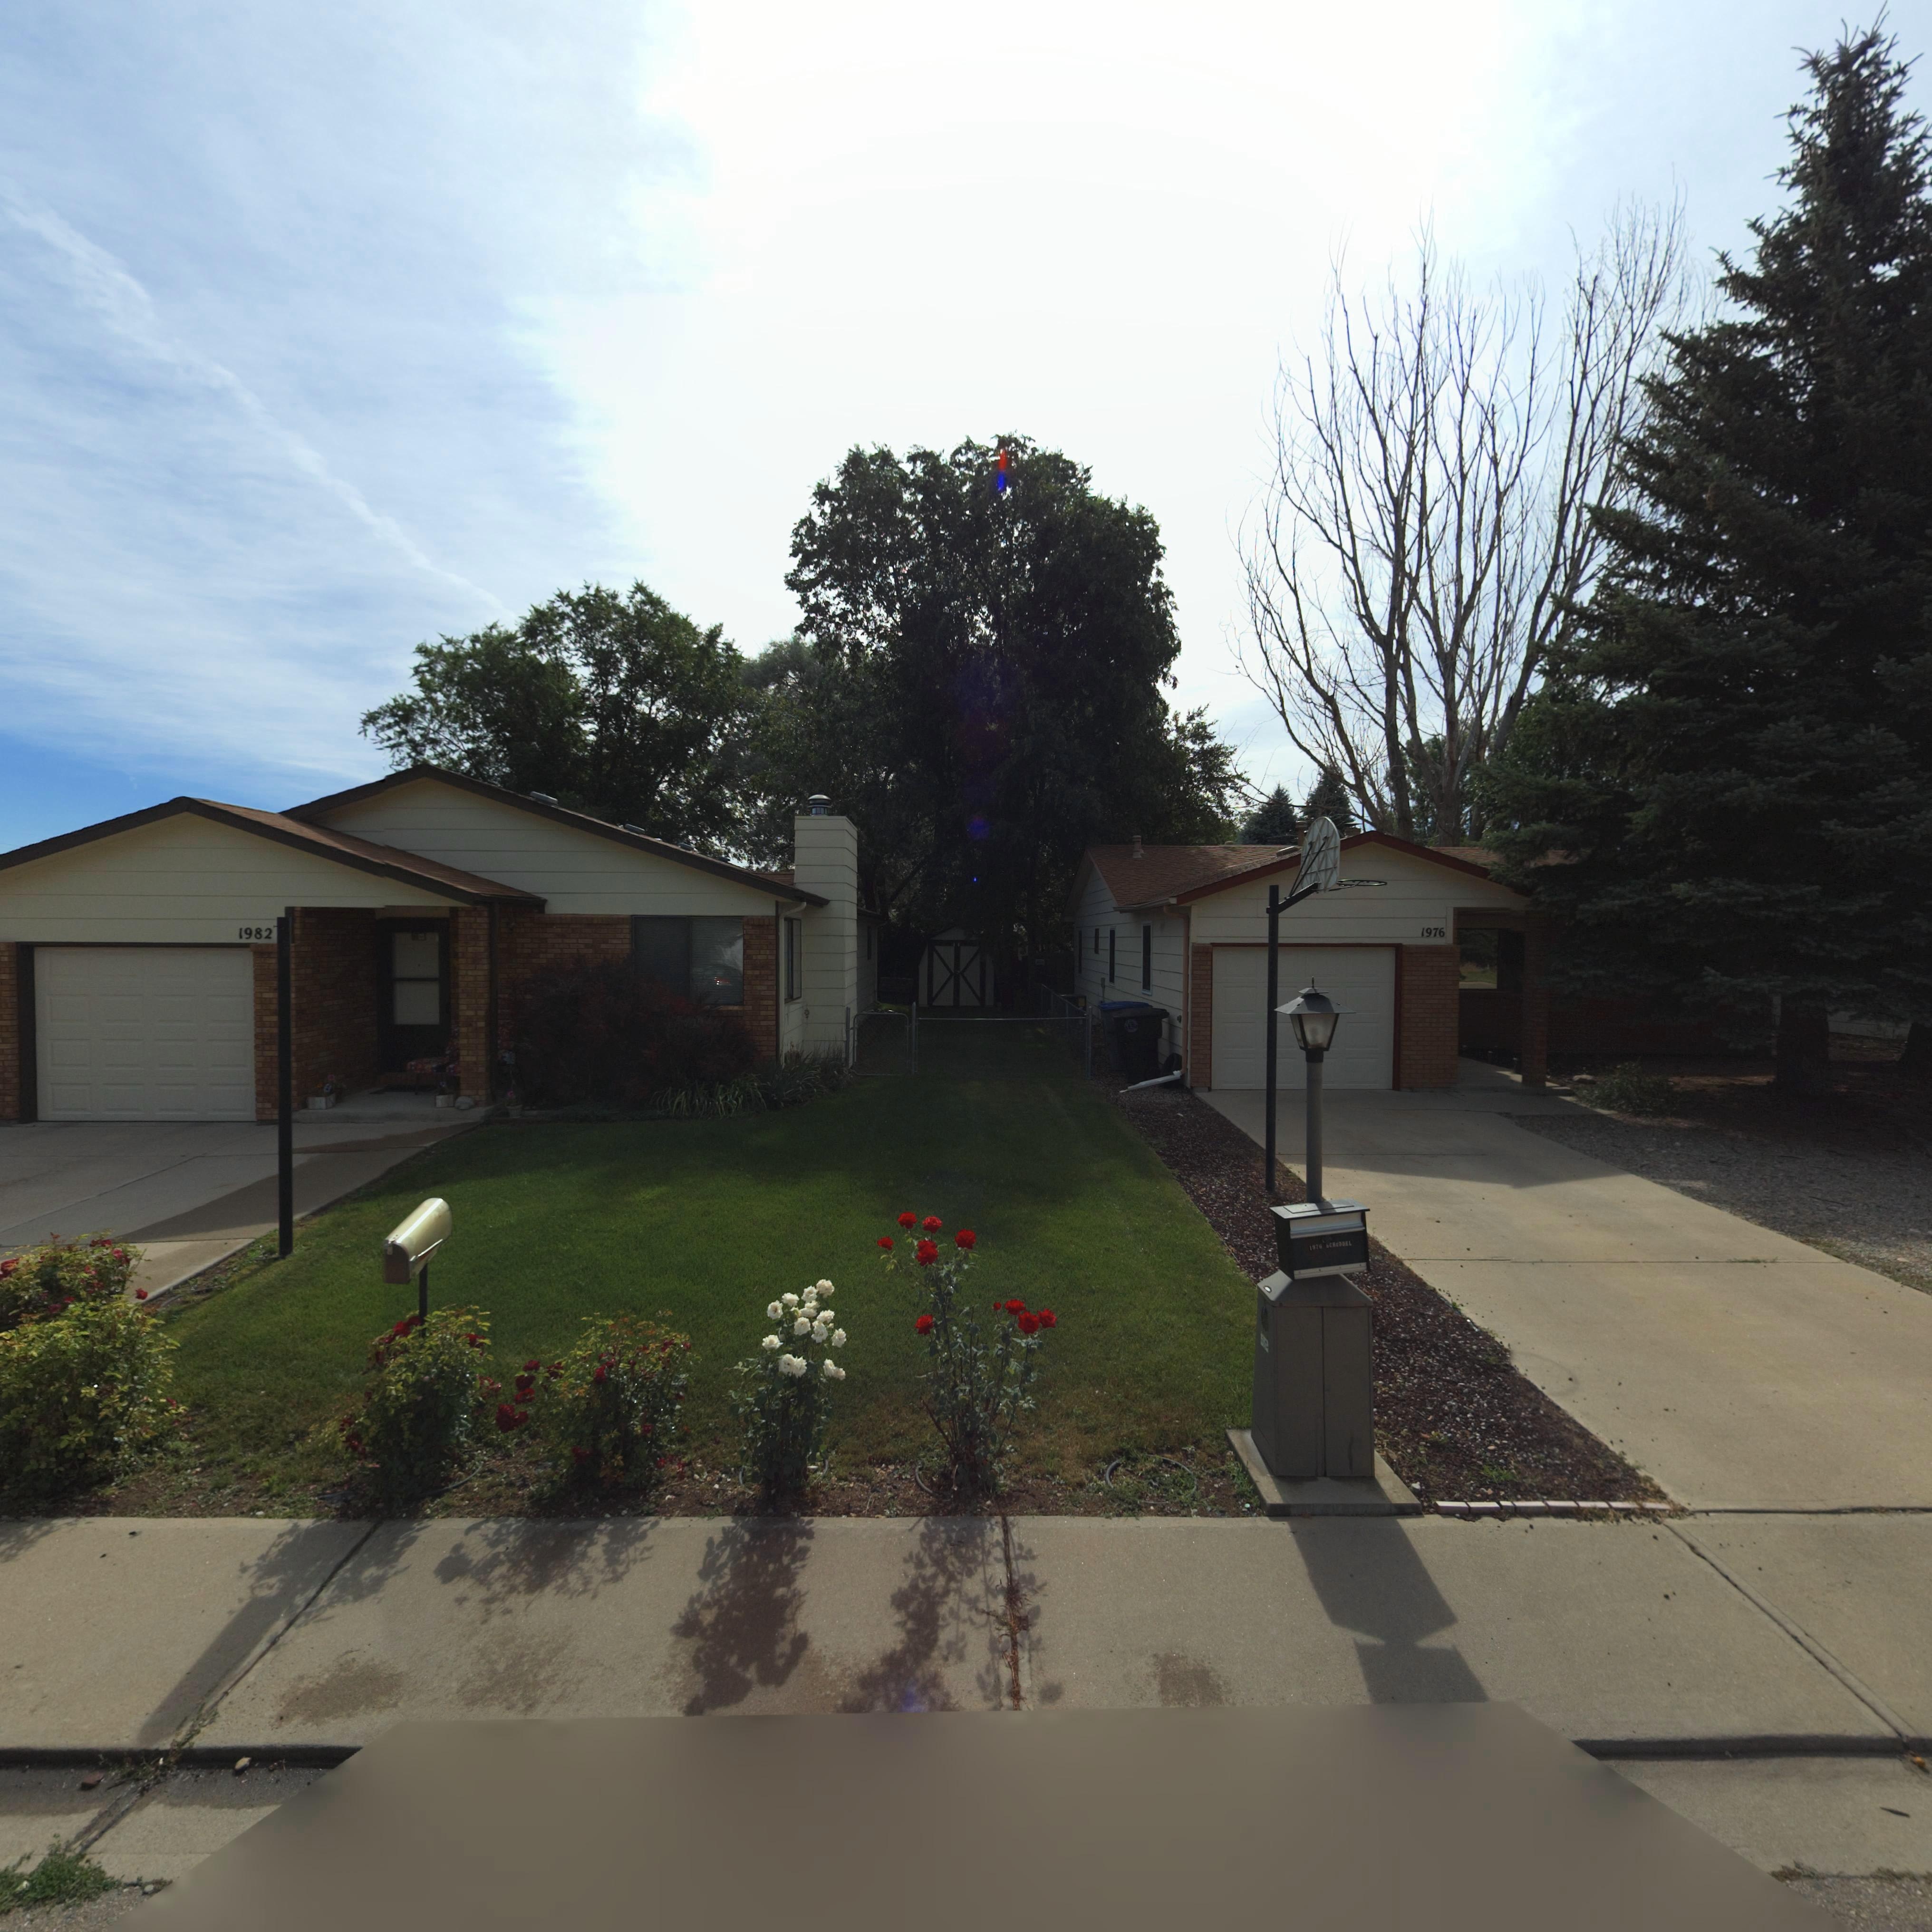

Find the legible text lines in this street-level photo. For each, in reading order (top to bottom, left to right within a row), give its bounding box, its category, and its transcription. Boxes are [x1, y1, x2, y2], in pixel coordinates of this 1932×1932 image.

[239, 927, 272, 939] StreetNumber: 1982
[1420, 927, 1446, 938] StreetNumber: 1976
[1309, 1243, 1323, 1250] StreetNumber: 1*76